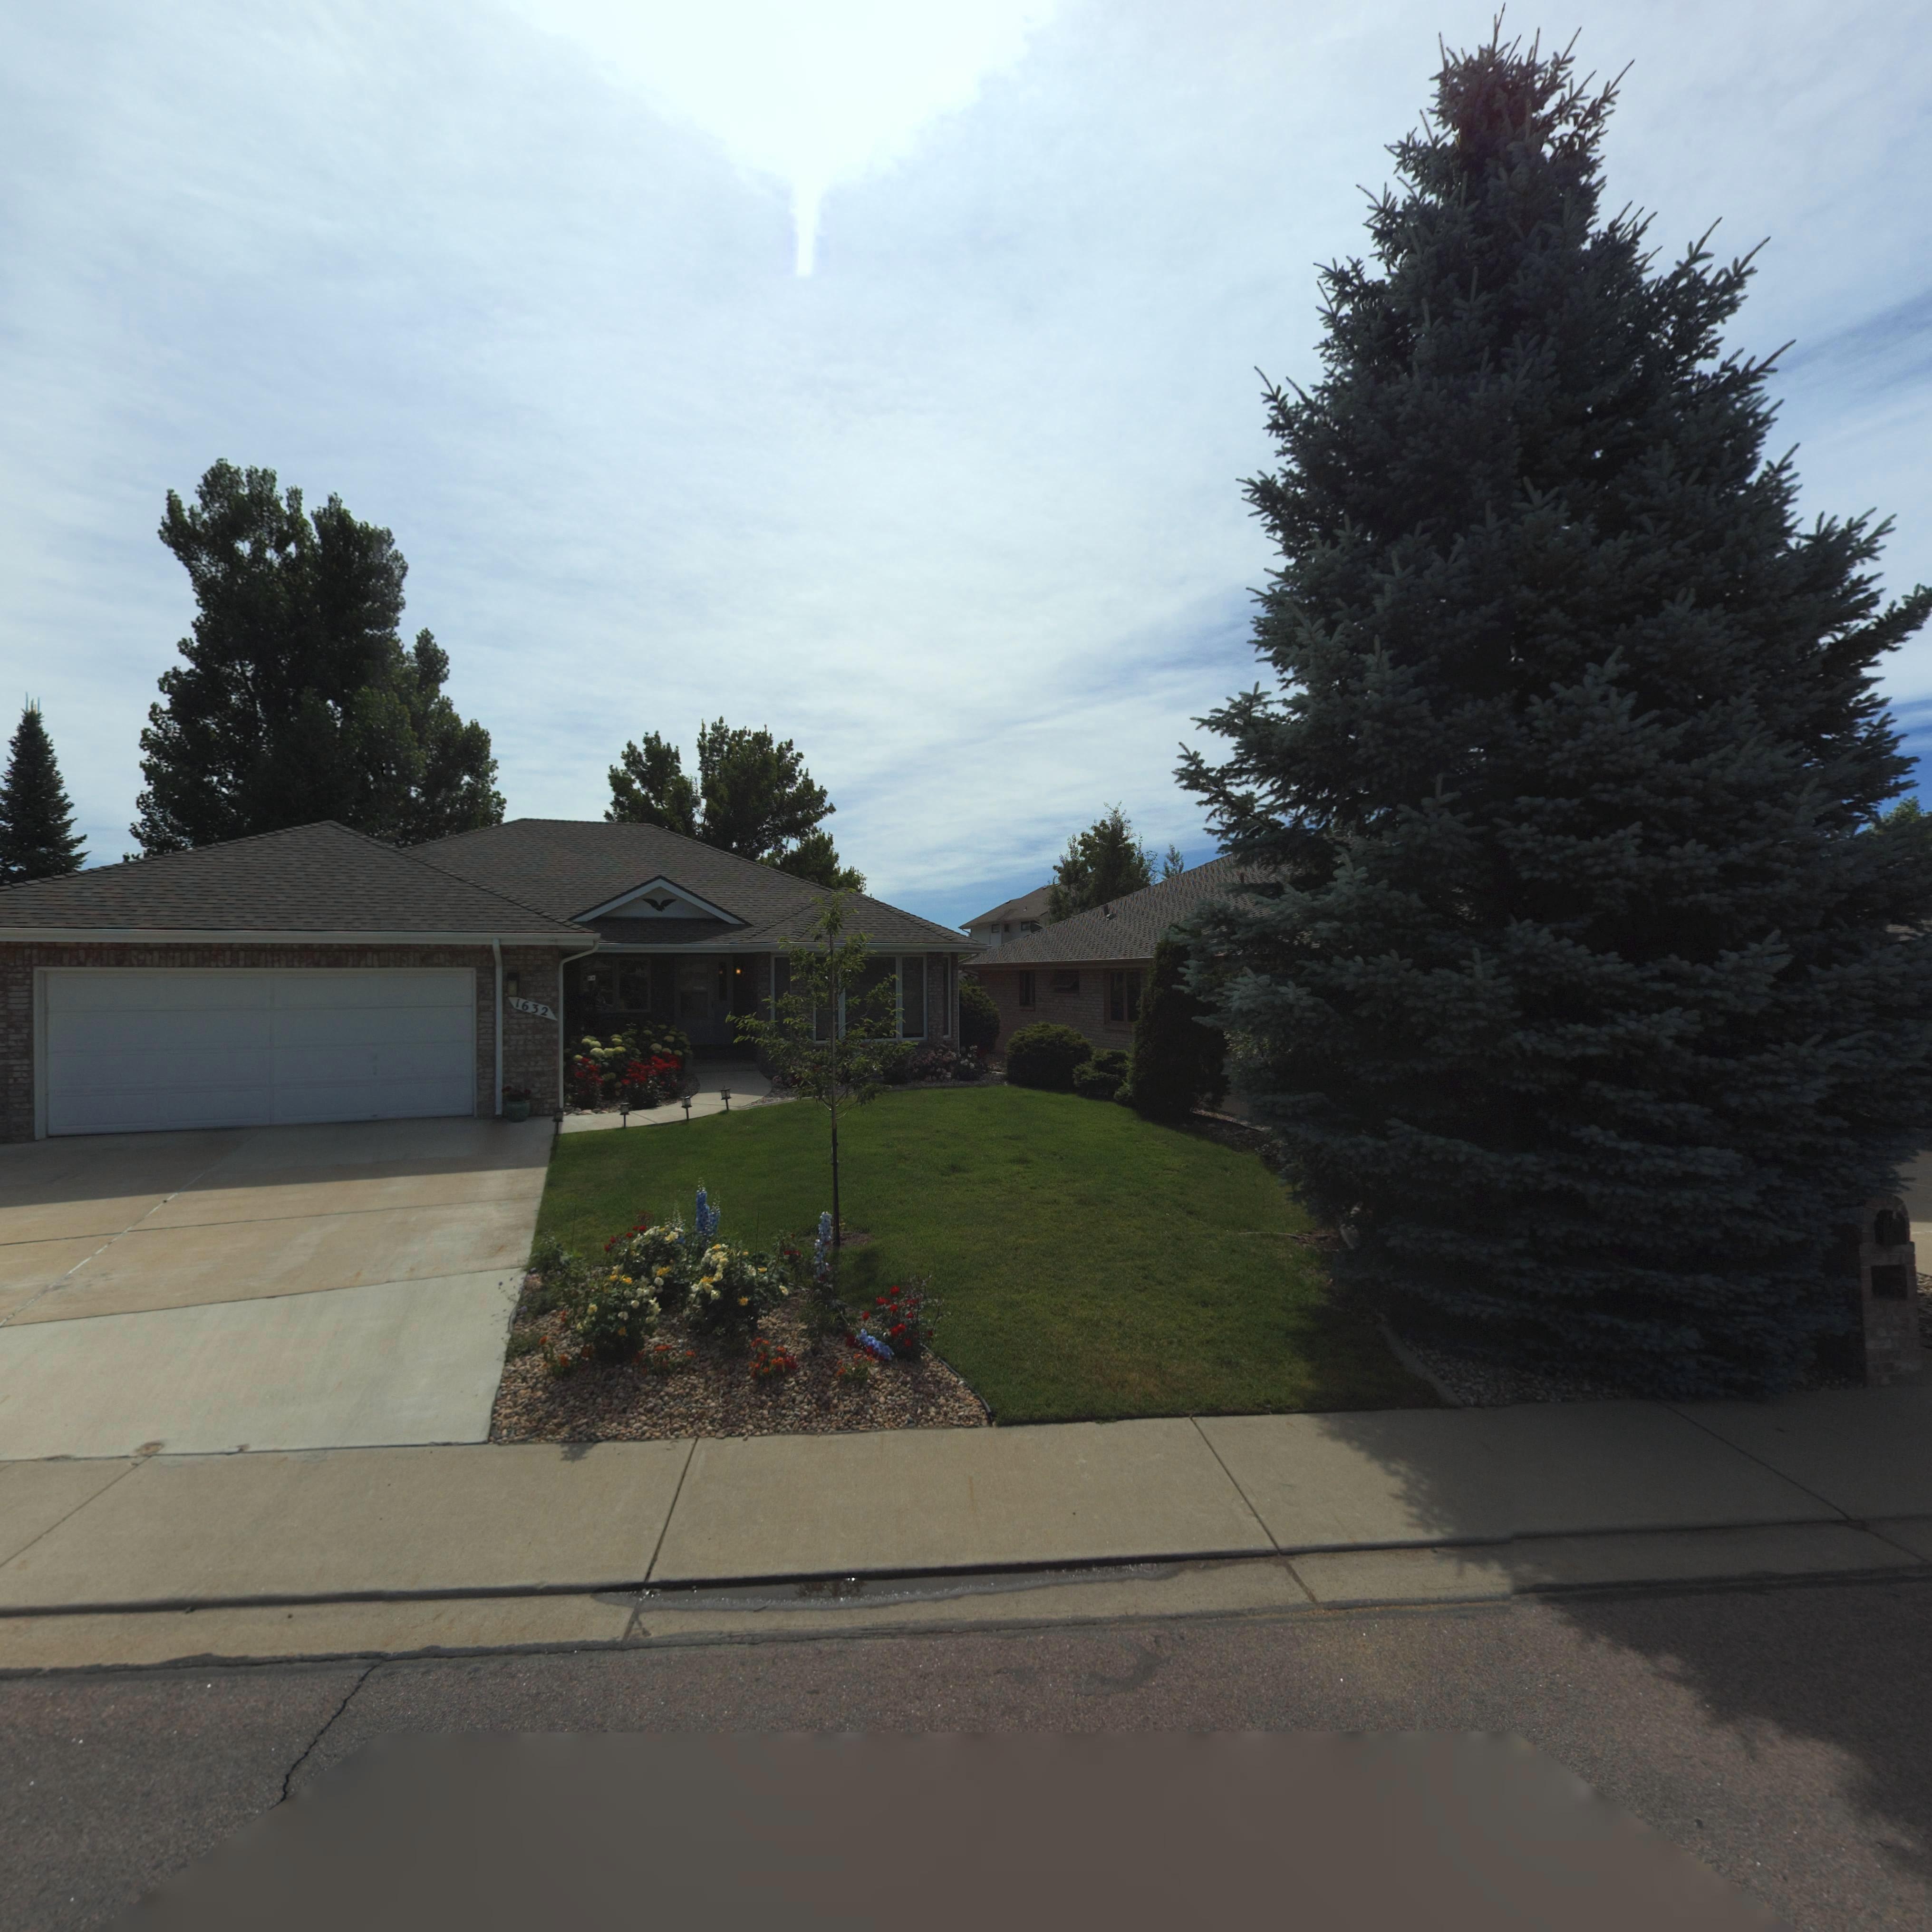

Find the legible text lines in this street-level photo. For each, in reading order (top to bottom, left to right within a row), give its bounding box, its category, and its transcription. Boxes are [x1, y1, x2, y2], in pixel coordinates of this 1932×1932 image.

[515, 997, 548, 1016] StreetNumber: 1632